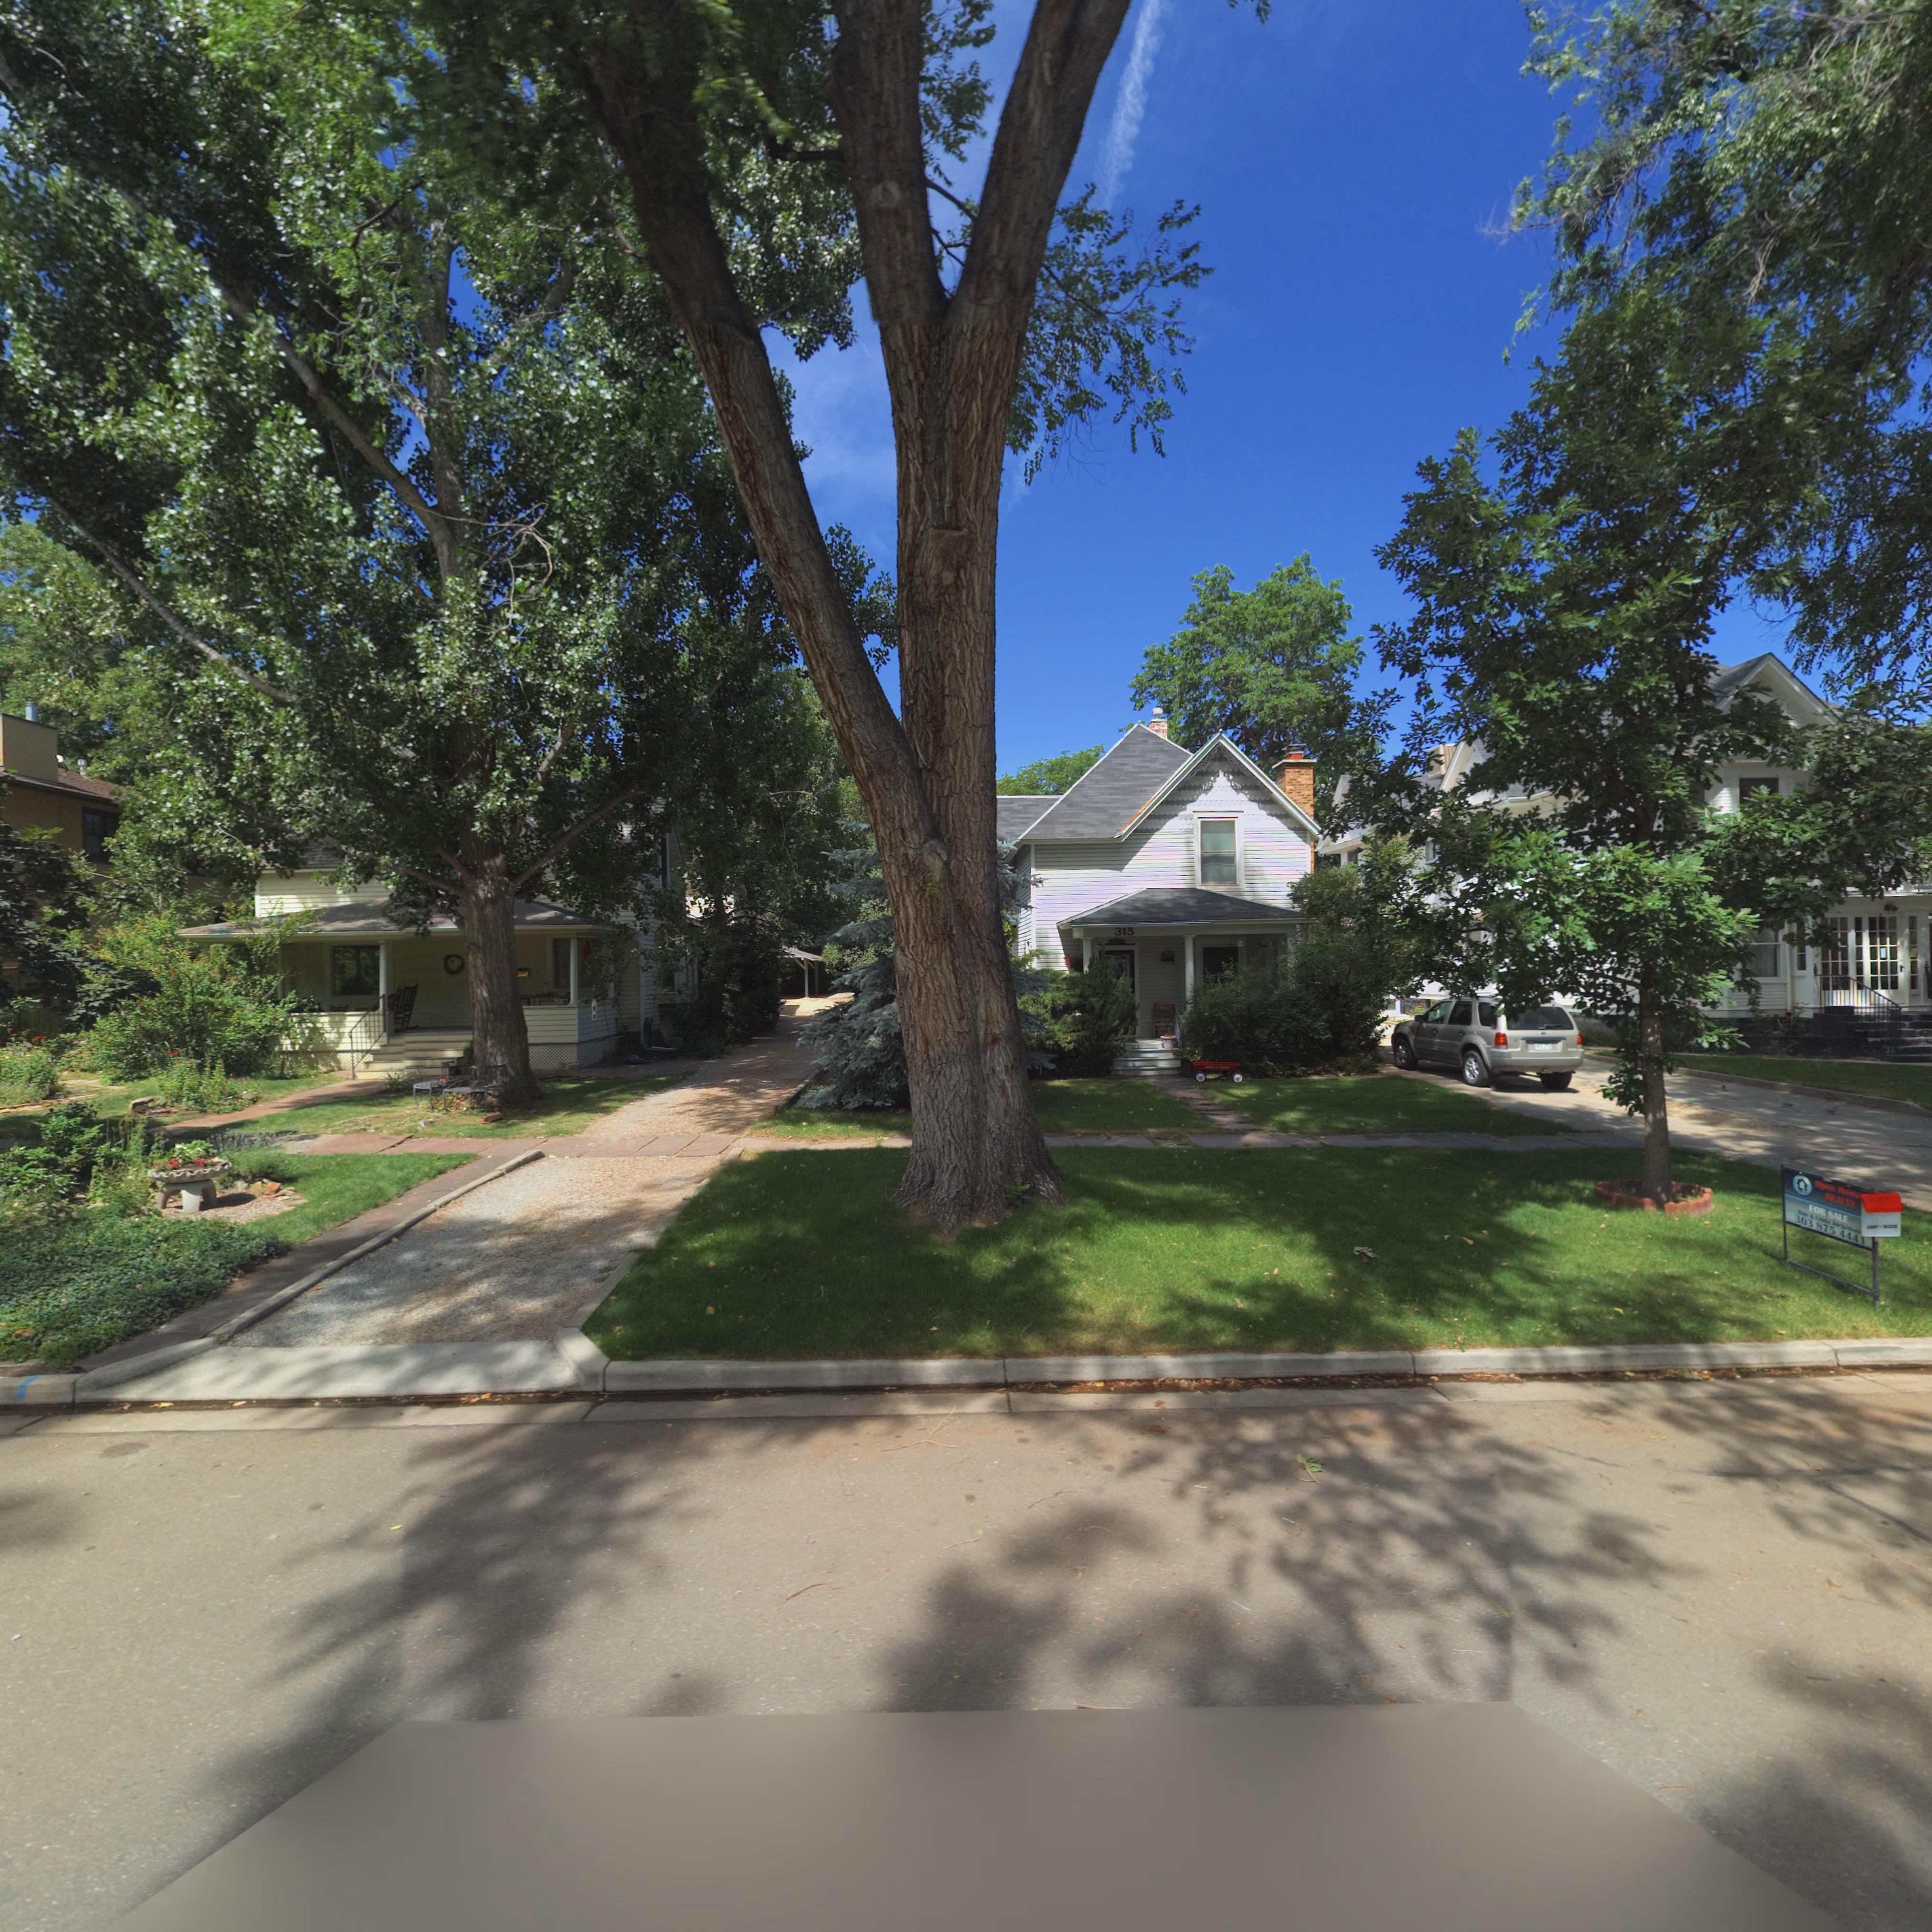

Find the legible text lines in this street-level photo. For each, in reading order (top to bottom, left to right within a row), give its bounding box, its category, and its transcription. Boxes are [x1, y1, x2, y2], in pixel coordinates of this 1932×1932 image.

[1114, 927, 1134, 936] StreetNumber: 315